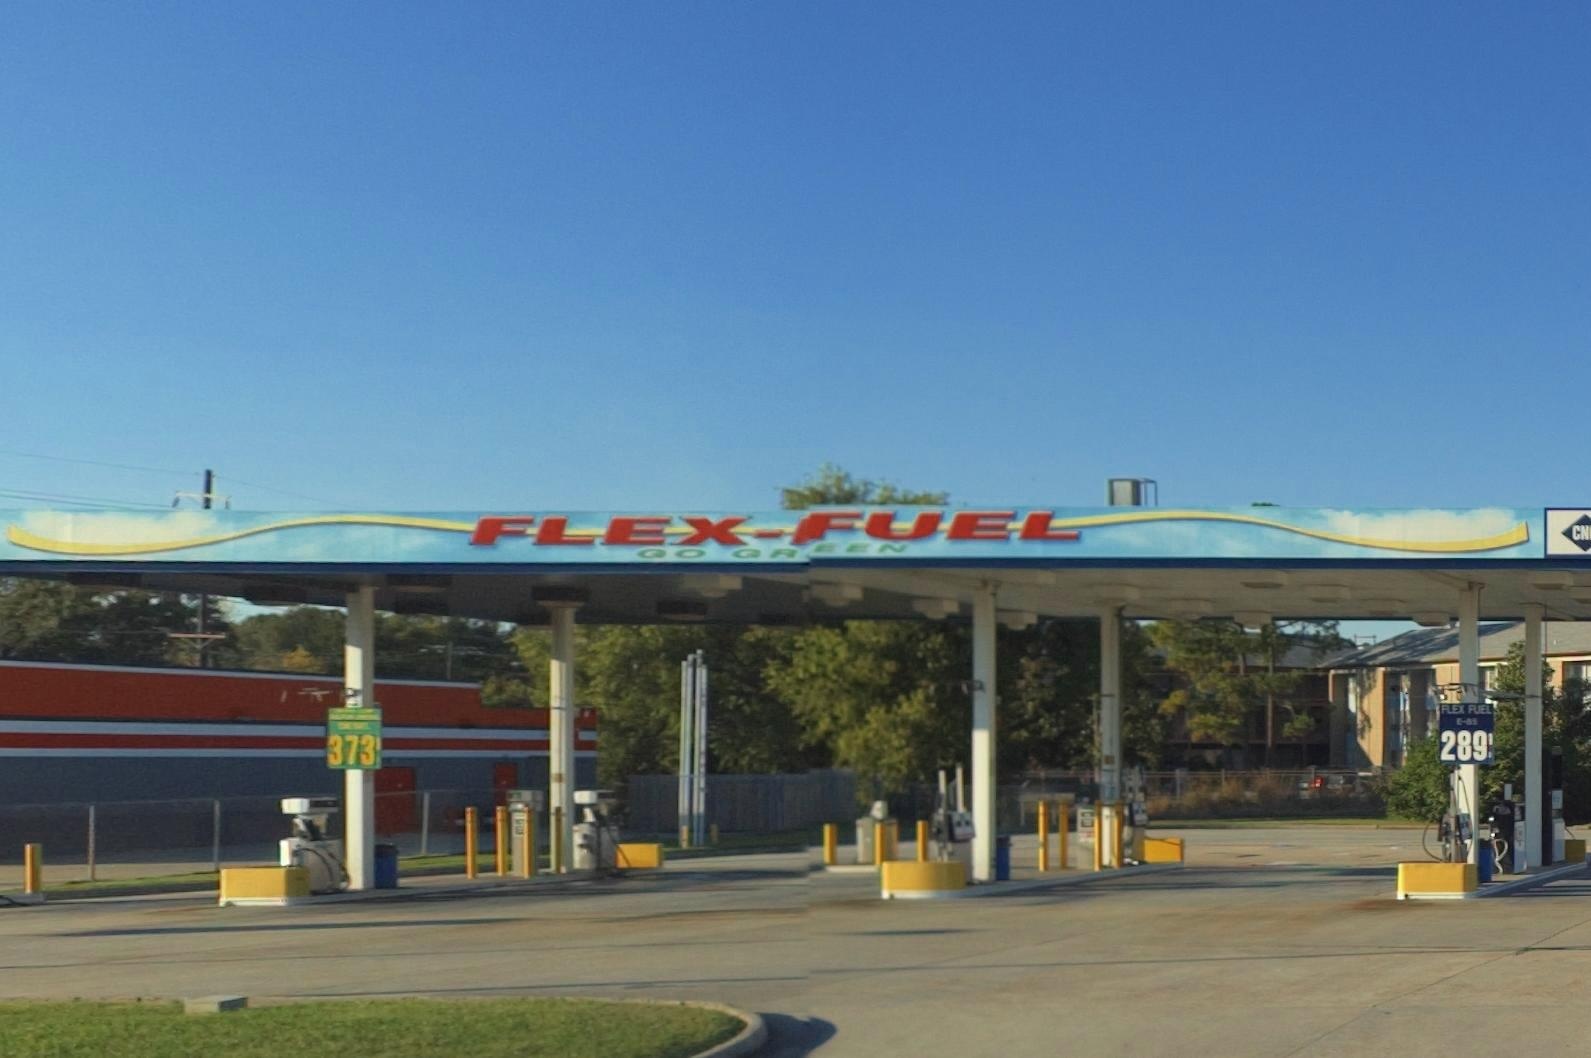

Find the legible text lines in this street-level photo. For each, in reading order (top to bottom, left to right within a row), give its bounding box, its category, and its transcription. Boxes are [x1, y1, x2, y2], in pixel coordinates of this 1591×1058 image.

[466, 508, 1081, 547] BusinessName: FLEX-FUEL
[1572, 524, 1590, 541] None: CN
[635, 542, 912, 559] None: GO GREEN
[1440, 704, 1493, 715] None: FLEX FUEL
[1456, 716, 1479, 726] None: E-8*
[326, 732, 377, 766] None: 373
[1439, 729, 1488, 762] None: 289